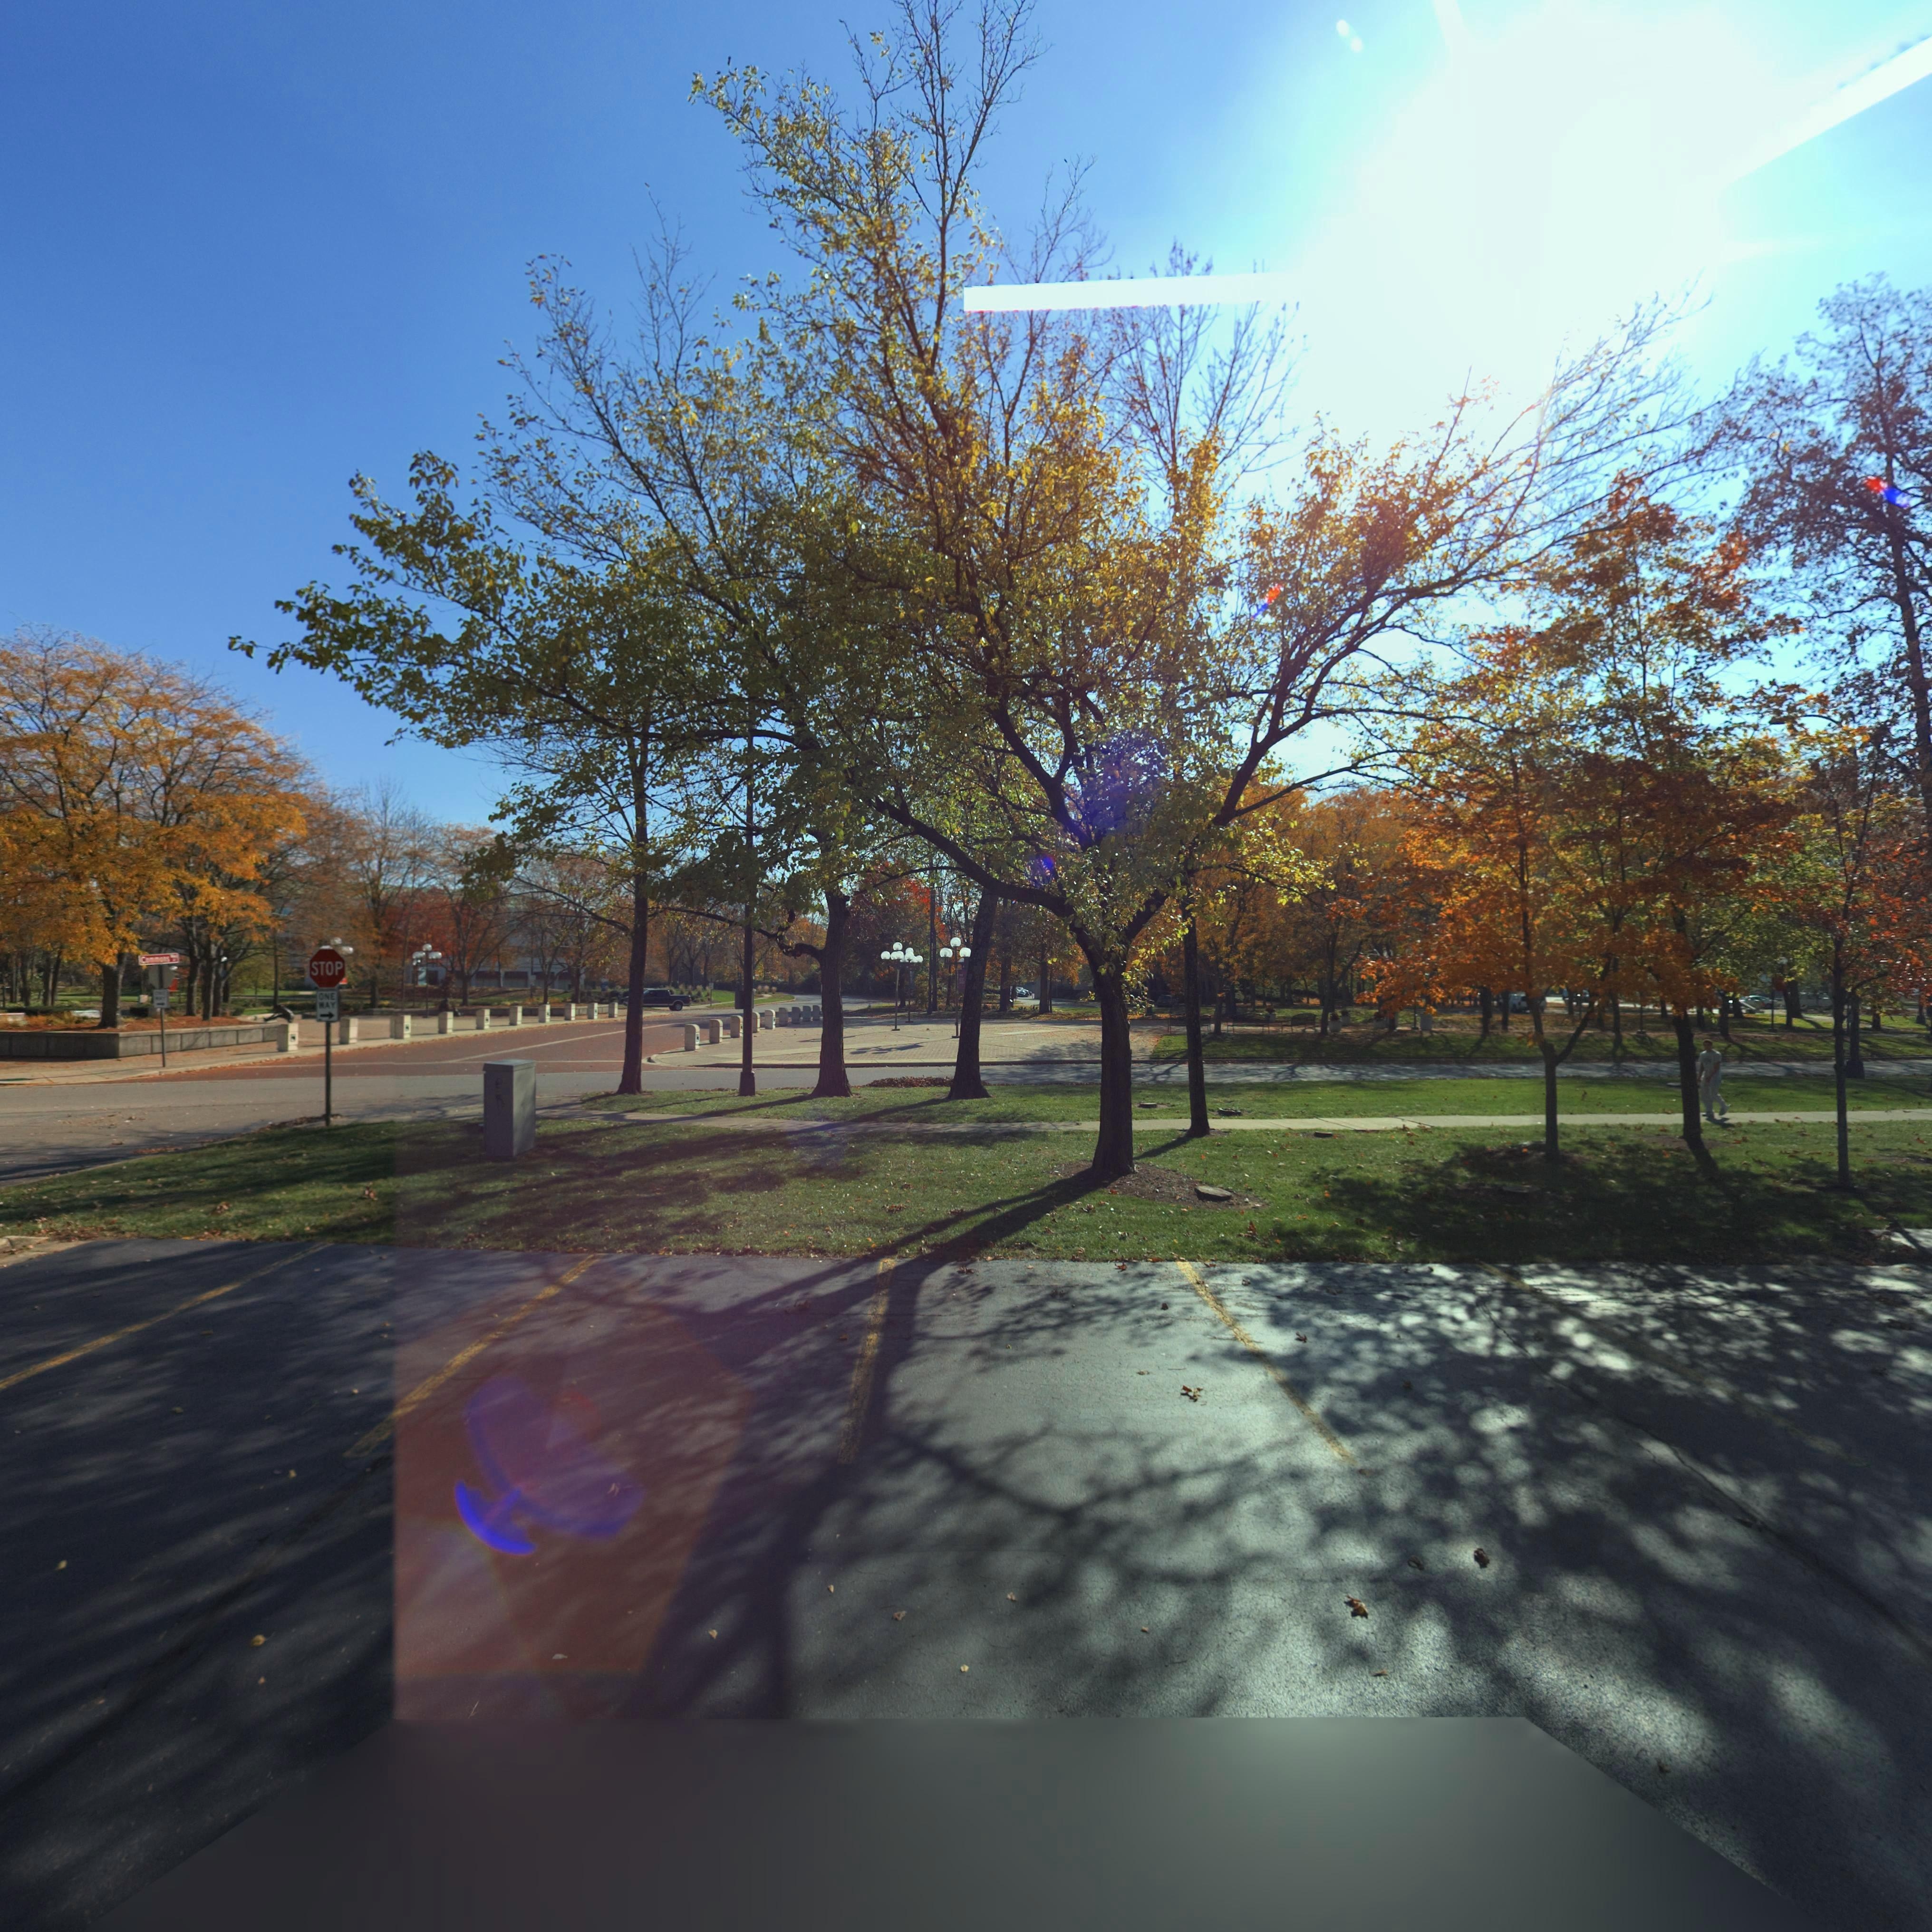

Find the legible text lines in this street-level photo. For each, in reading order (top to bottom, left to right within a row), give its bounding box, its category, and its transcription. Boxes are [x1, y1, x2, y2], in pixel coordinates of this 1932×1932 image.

[309, 958, 345, 977] None: STOP
[317, 991, 338, 1002] None: ONE
[317, 1001, 338, 1010] None: WAY